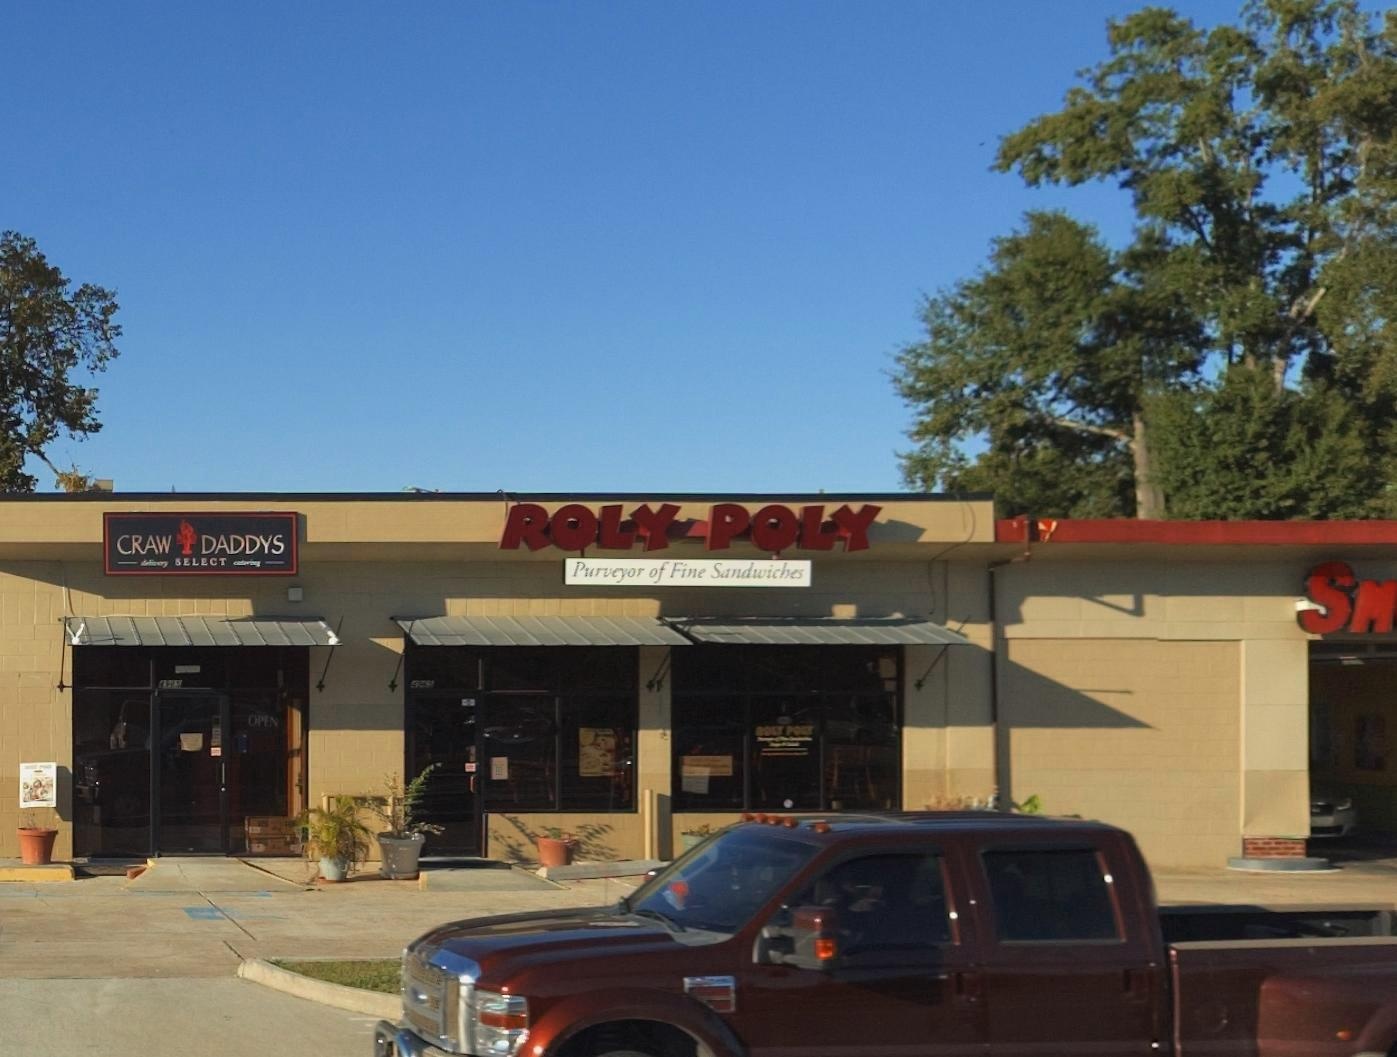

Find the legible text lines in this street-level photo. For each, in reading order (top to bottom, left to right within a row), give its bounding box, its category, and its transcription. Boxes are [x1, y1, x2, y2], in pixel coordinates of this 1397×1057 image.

[496, 503, 886, 553] BusinessName: ROLY-POLY
[116, 534, 286, 556] BusinessName: CRAW DADDYS
[173, 556, 229, 568] BusinessName: SELECT
[571, 561, 805, 585] None: Purveyor of Fine Sandwiches
[1296, 559, 1397, 635] None: Sm
[247, 712, 281, 729] None: OPEN
[754, 724, 815, 737] None: ROLY POLY